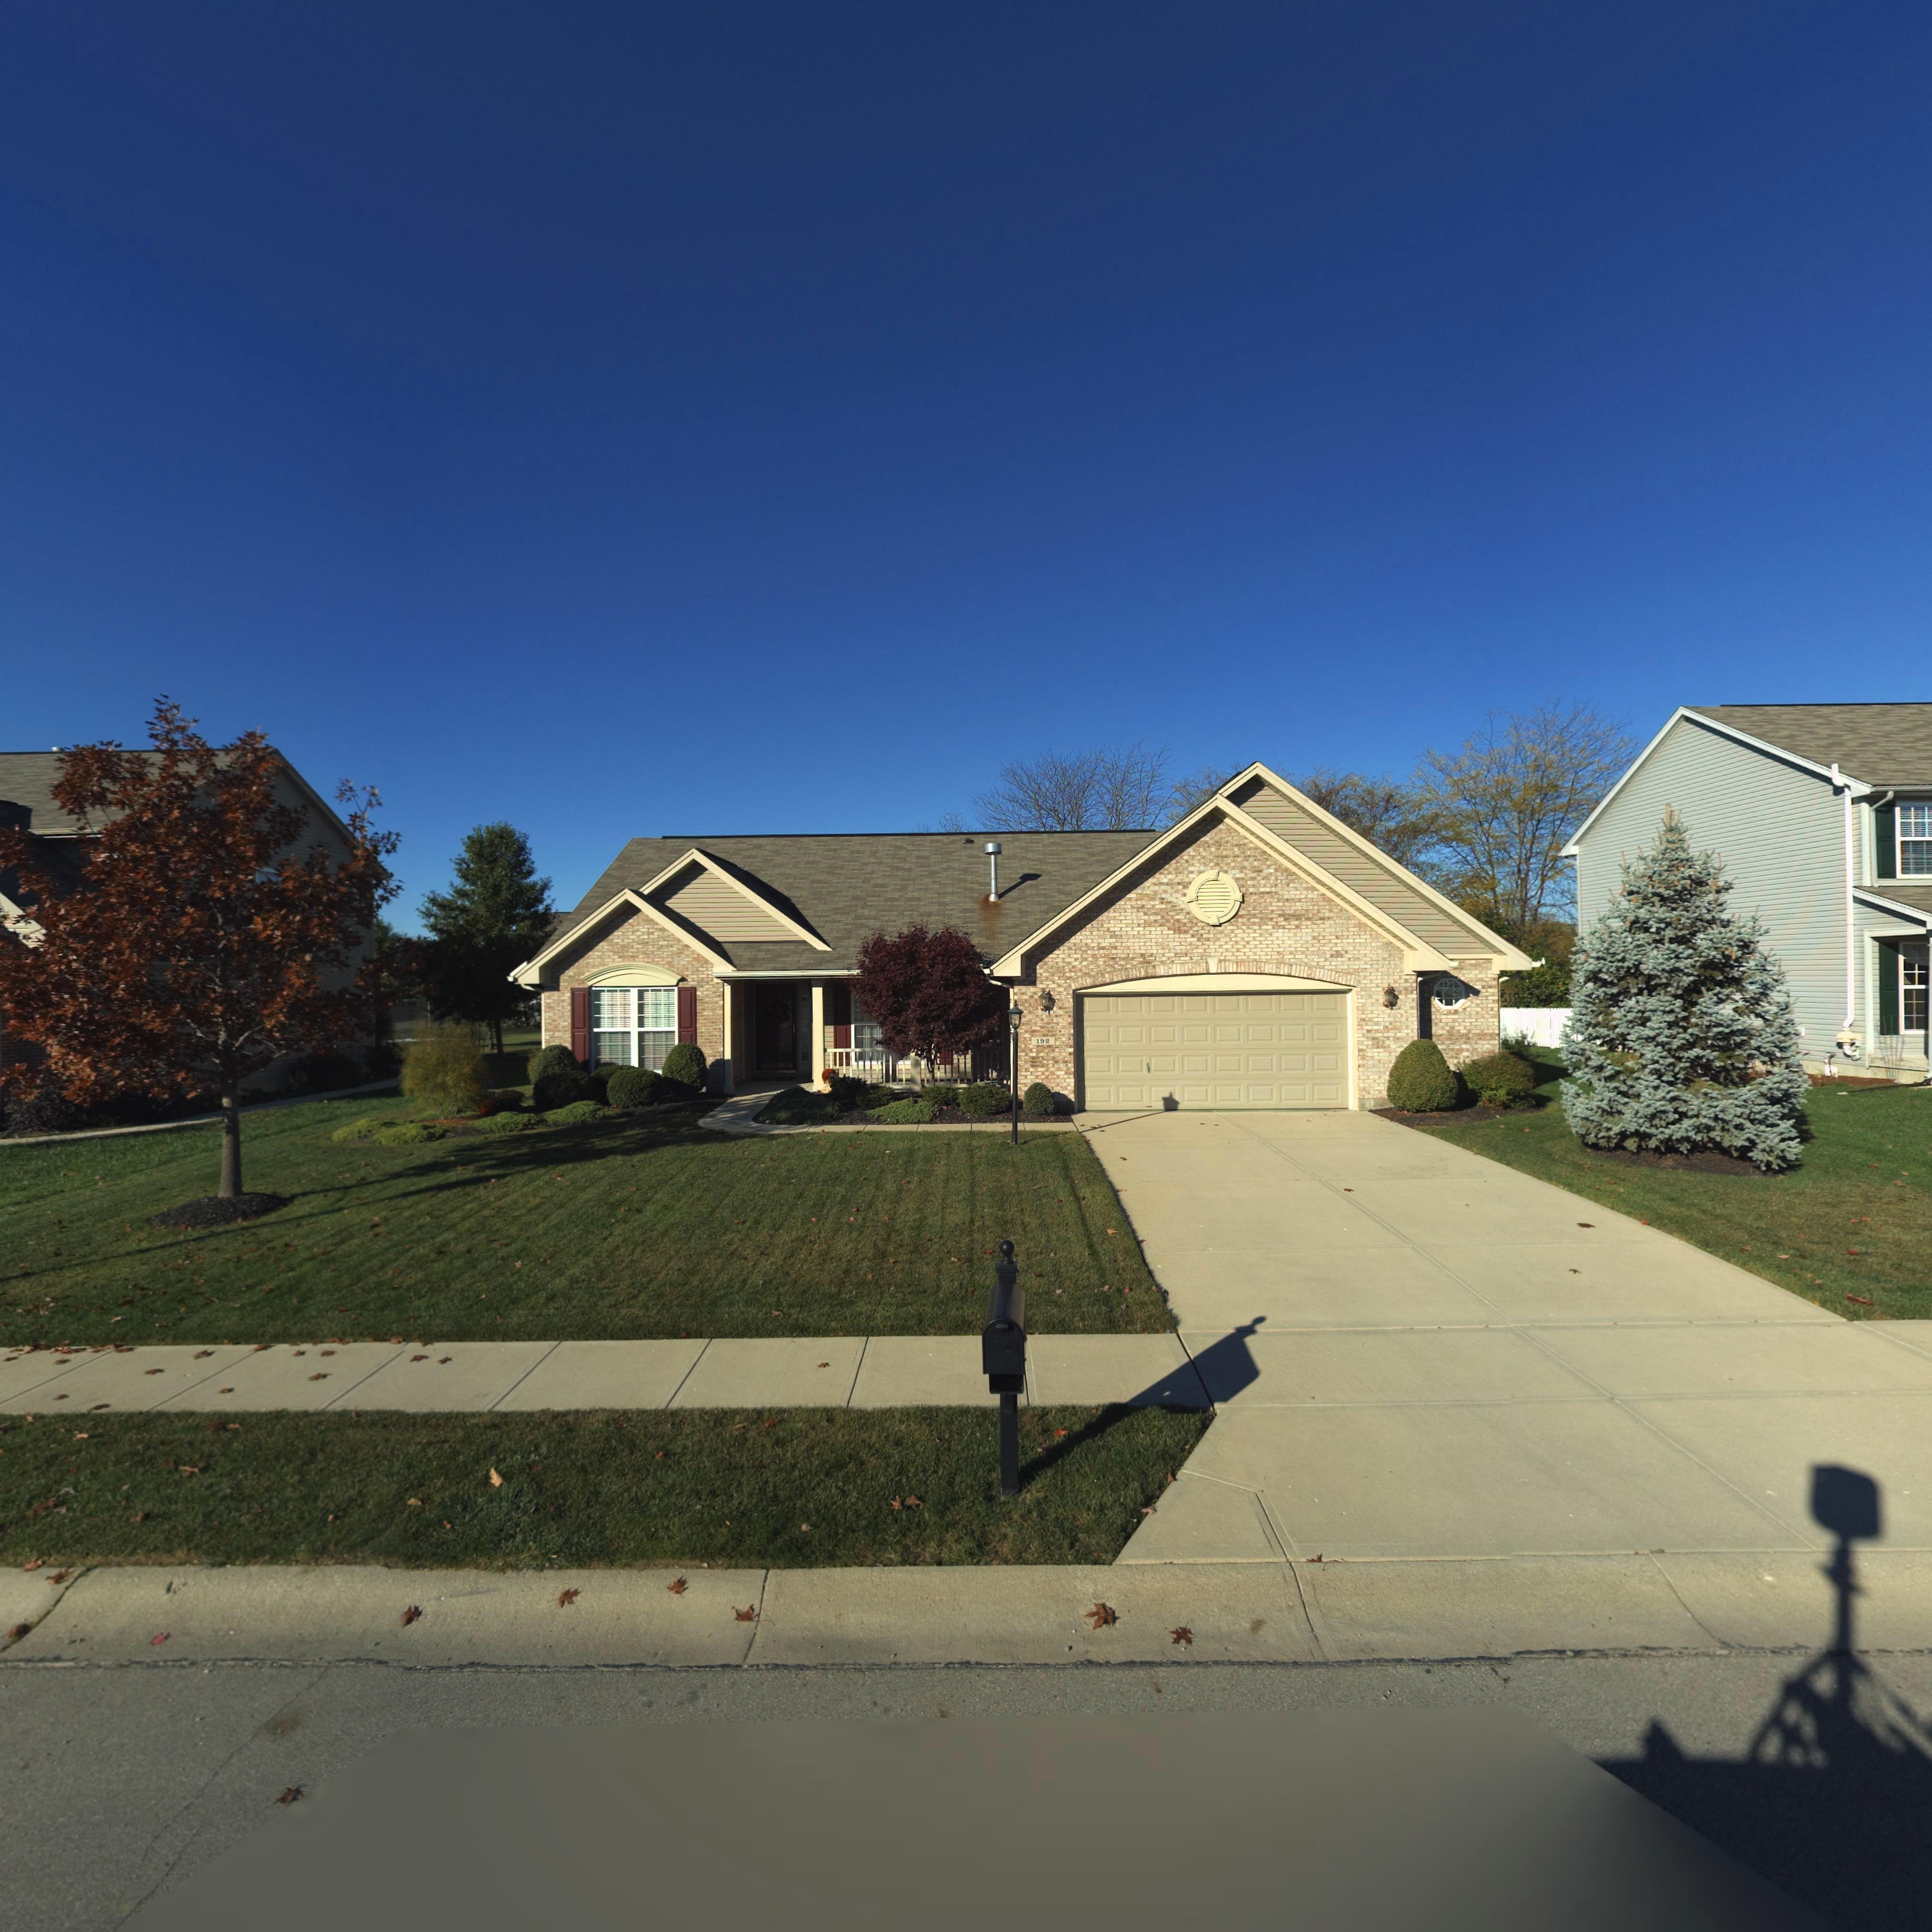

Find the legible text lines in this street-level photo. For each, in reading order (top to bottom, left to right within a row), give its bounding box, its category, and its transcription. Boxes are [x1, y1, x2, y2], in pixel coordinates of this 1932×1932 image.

[1035, 1037, 1051, 1045] StreetNumber: 192